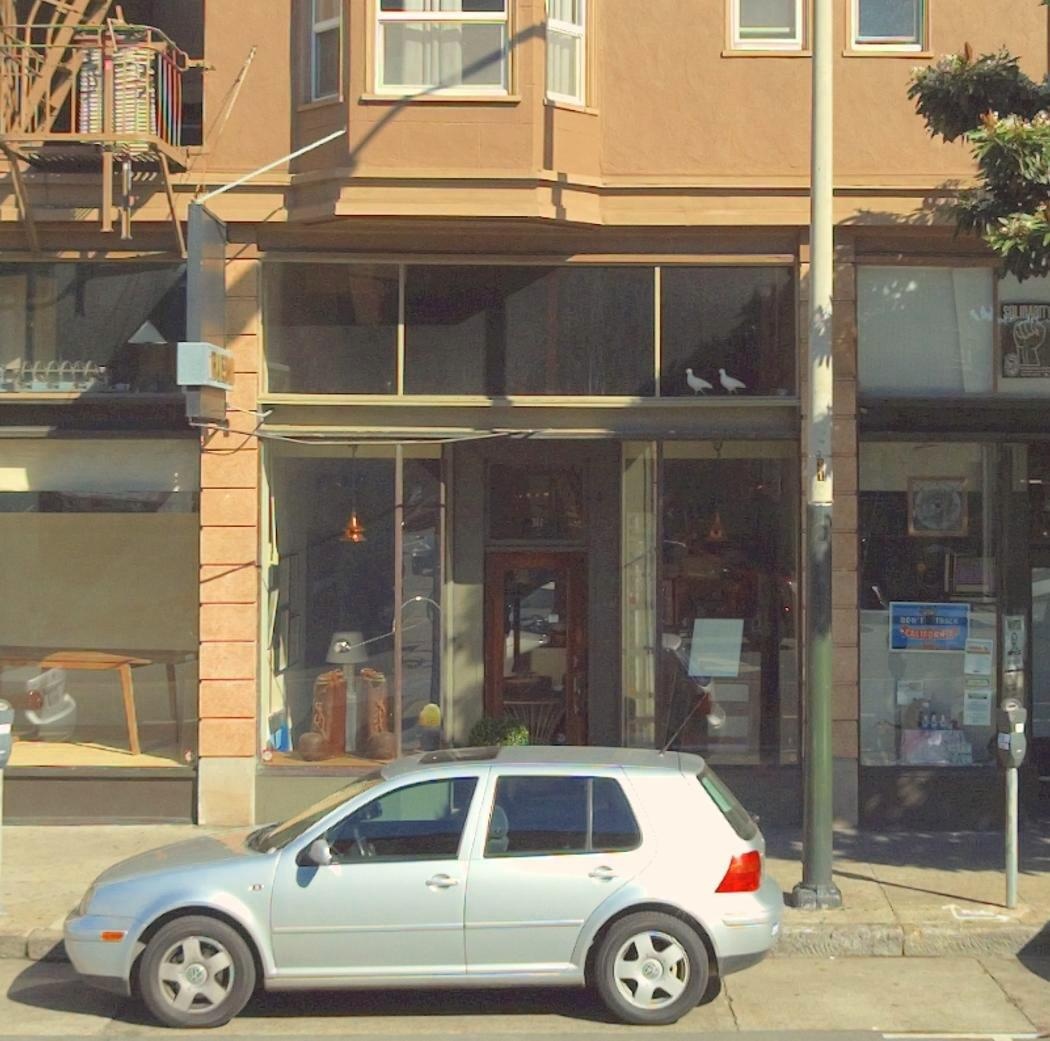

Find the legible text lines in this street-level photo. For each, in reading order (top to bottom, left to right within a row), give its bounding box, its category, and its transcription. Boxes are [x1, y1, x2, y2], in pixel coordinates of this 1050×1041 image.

[529, 516, 545, 528] StreetNumber: 311